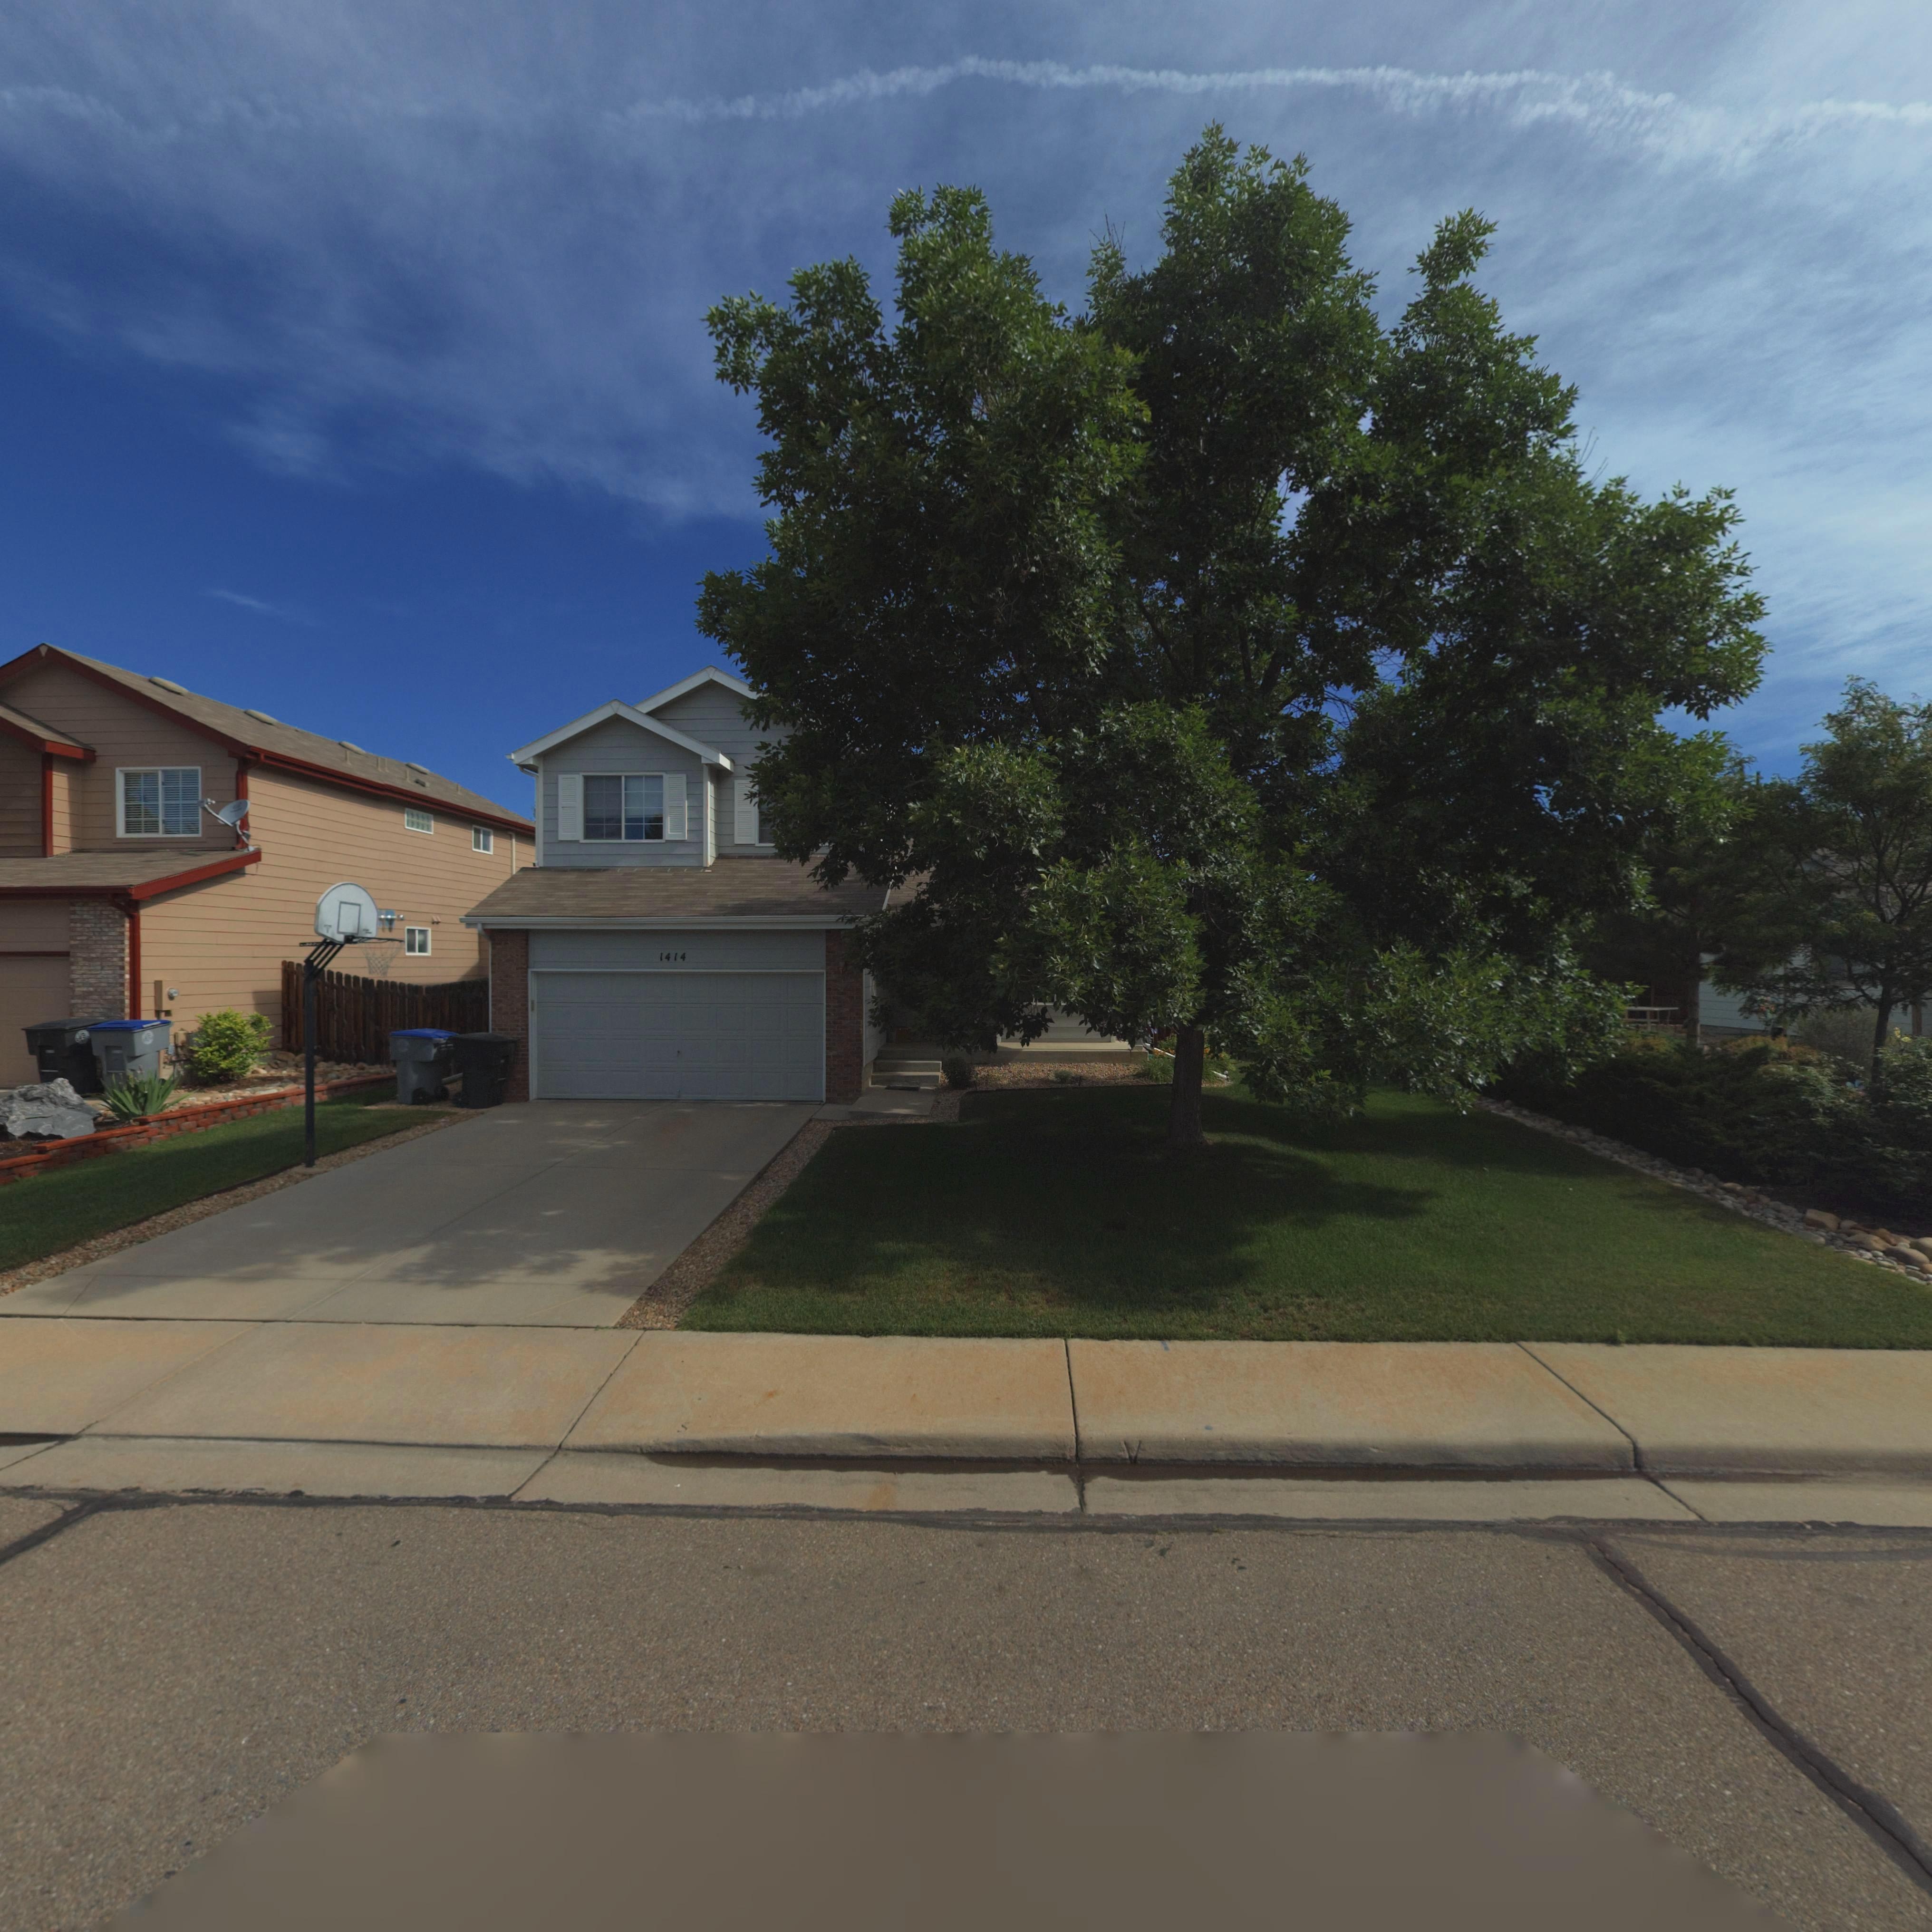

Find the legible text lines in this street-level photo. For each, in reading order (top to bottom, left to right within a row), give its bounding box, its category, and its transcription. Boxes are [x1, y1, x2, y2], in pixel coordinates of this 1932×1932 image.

[659, 952, 687, 961] StreetNumber: 1414